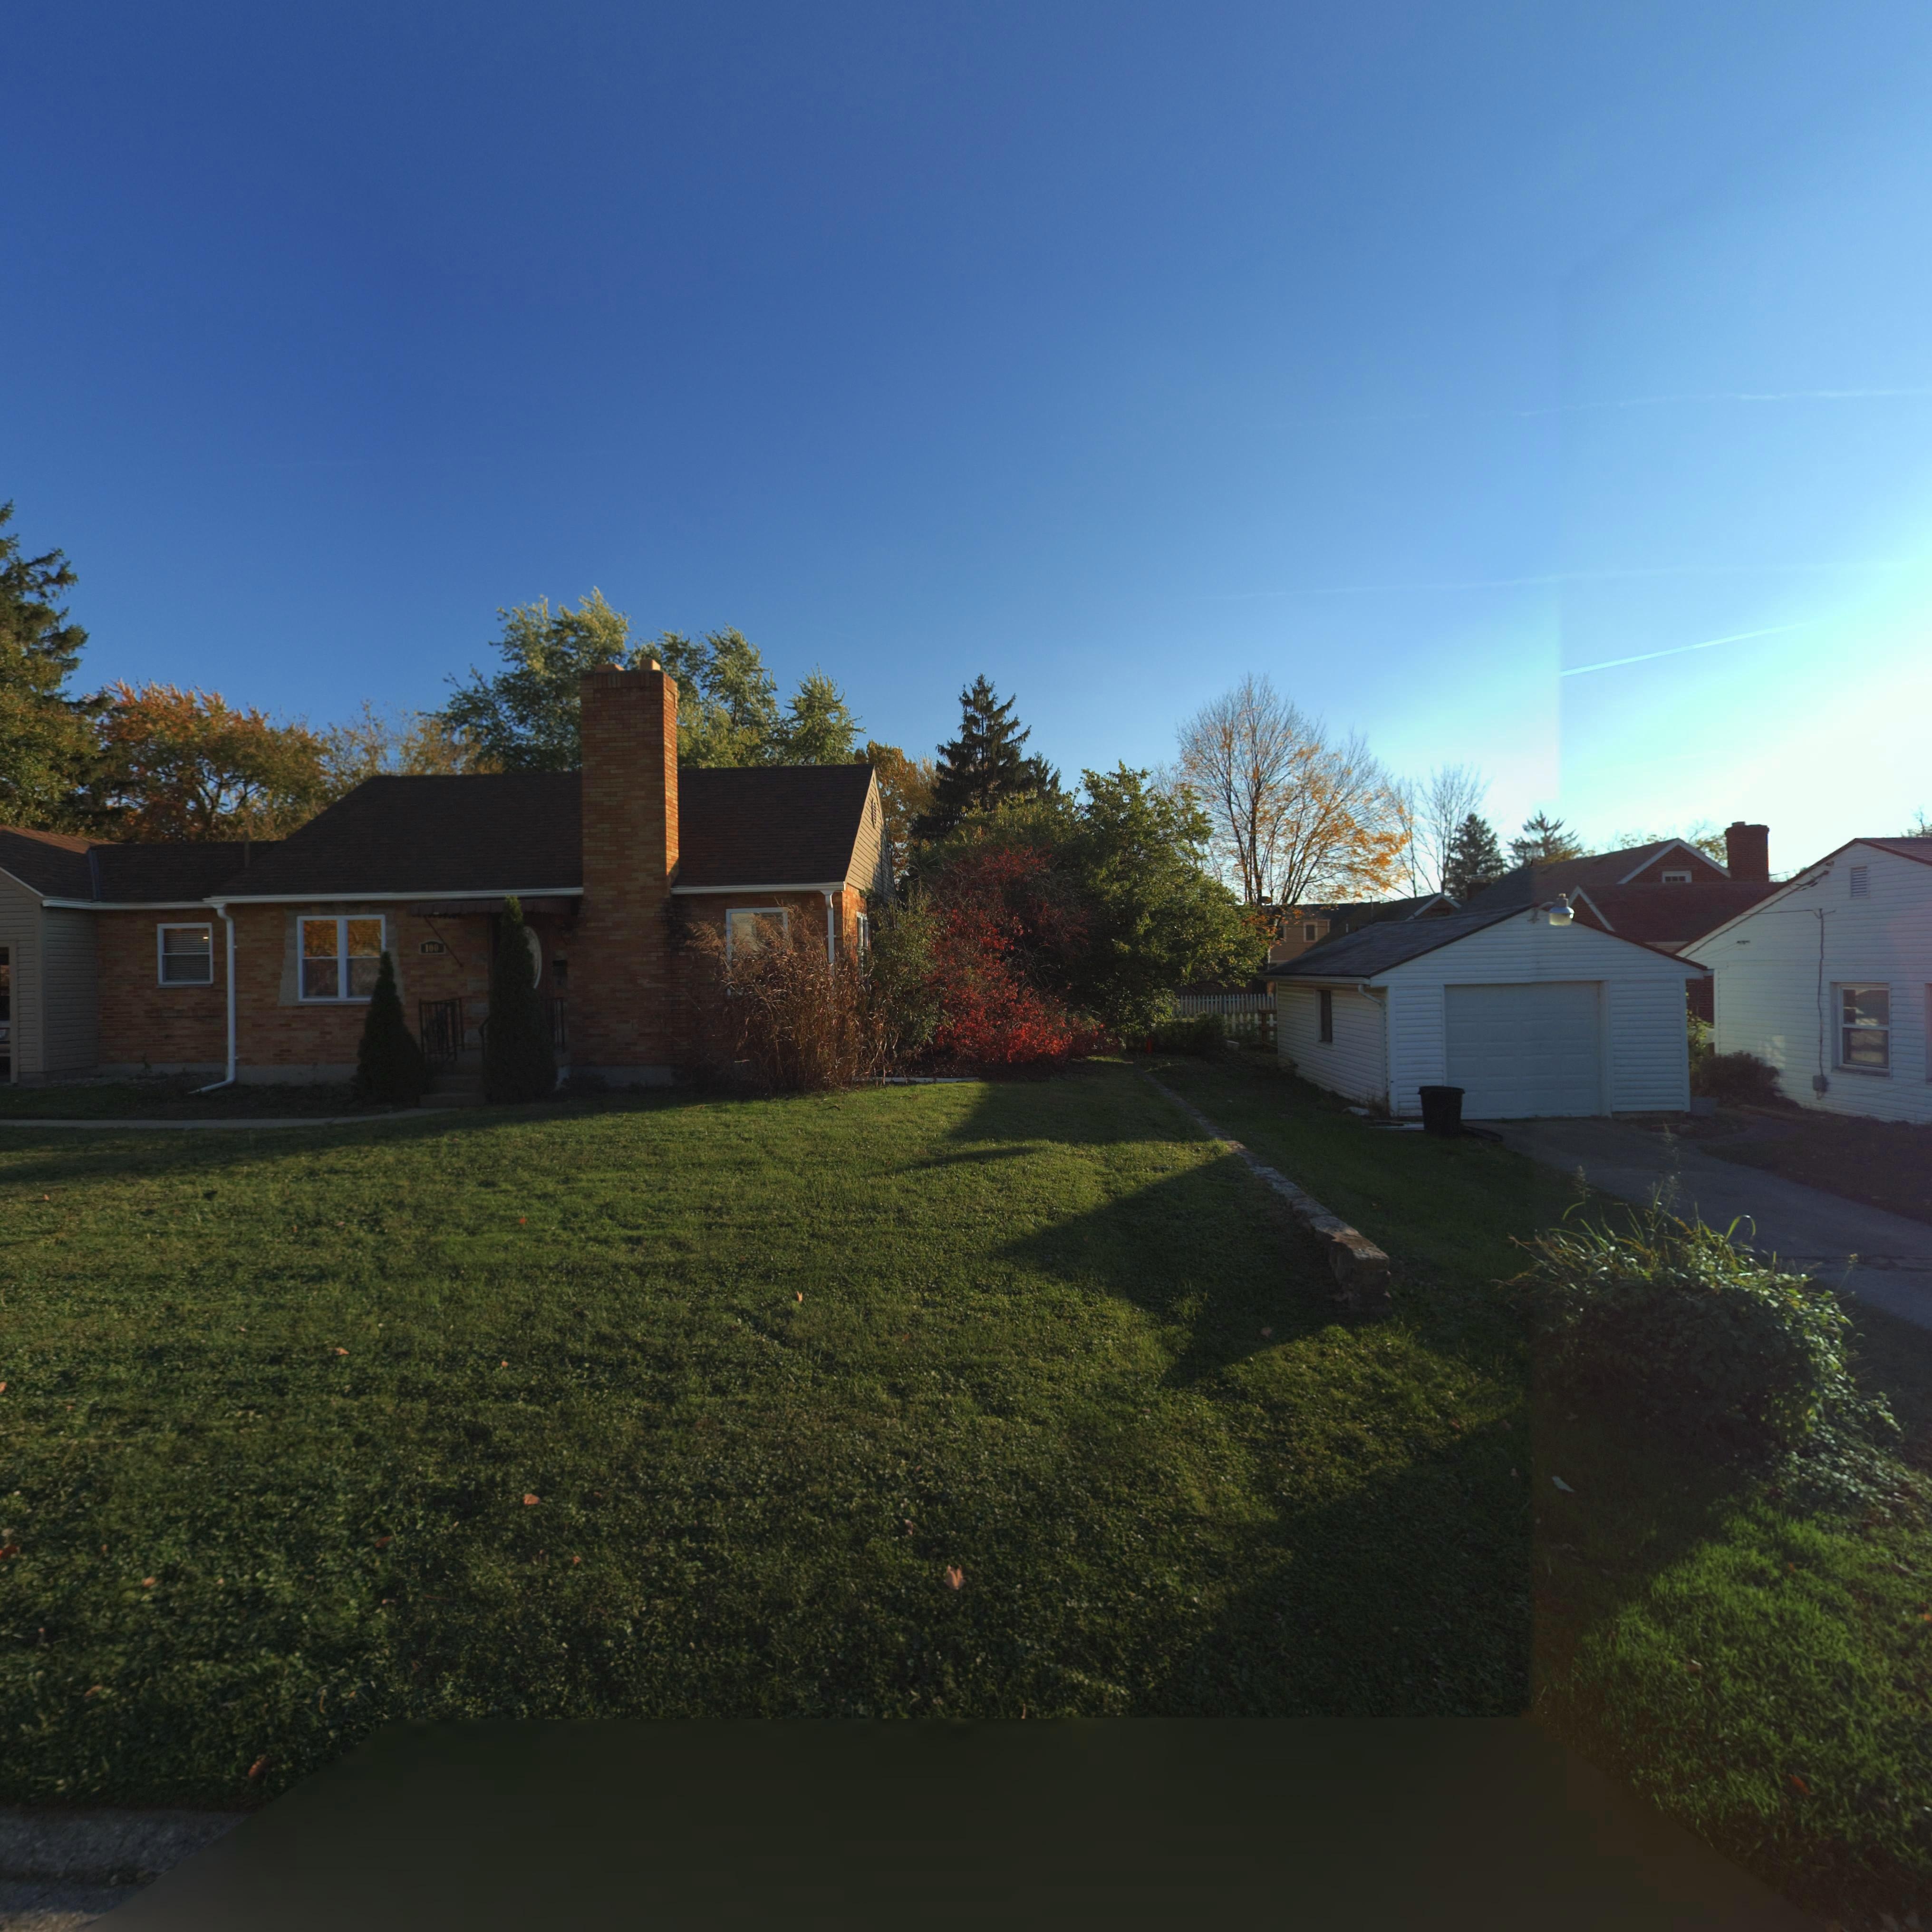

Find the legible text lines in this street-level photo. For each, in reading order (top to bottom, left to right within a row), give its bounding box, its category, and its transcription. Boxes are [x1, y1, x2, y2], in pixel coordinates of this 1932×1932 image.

[425, 943, 440, 953] StreetNumber: 1*0